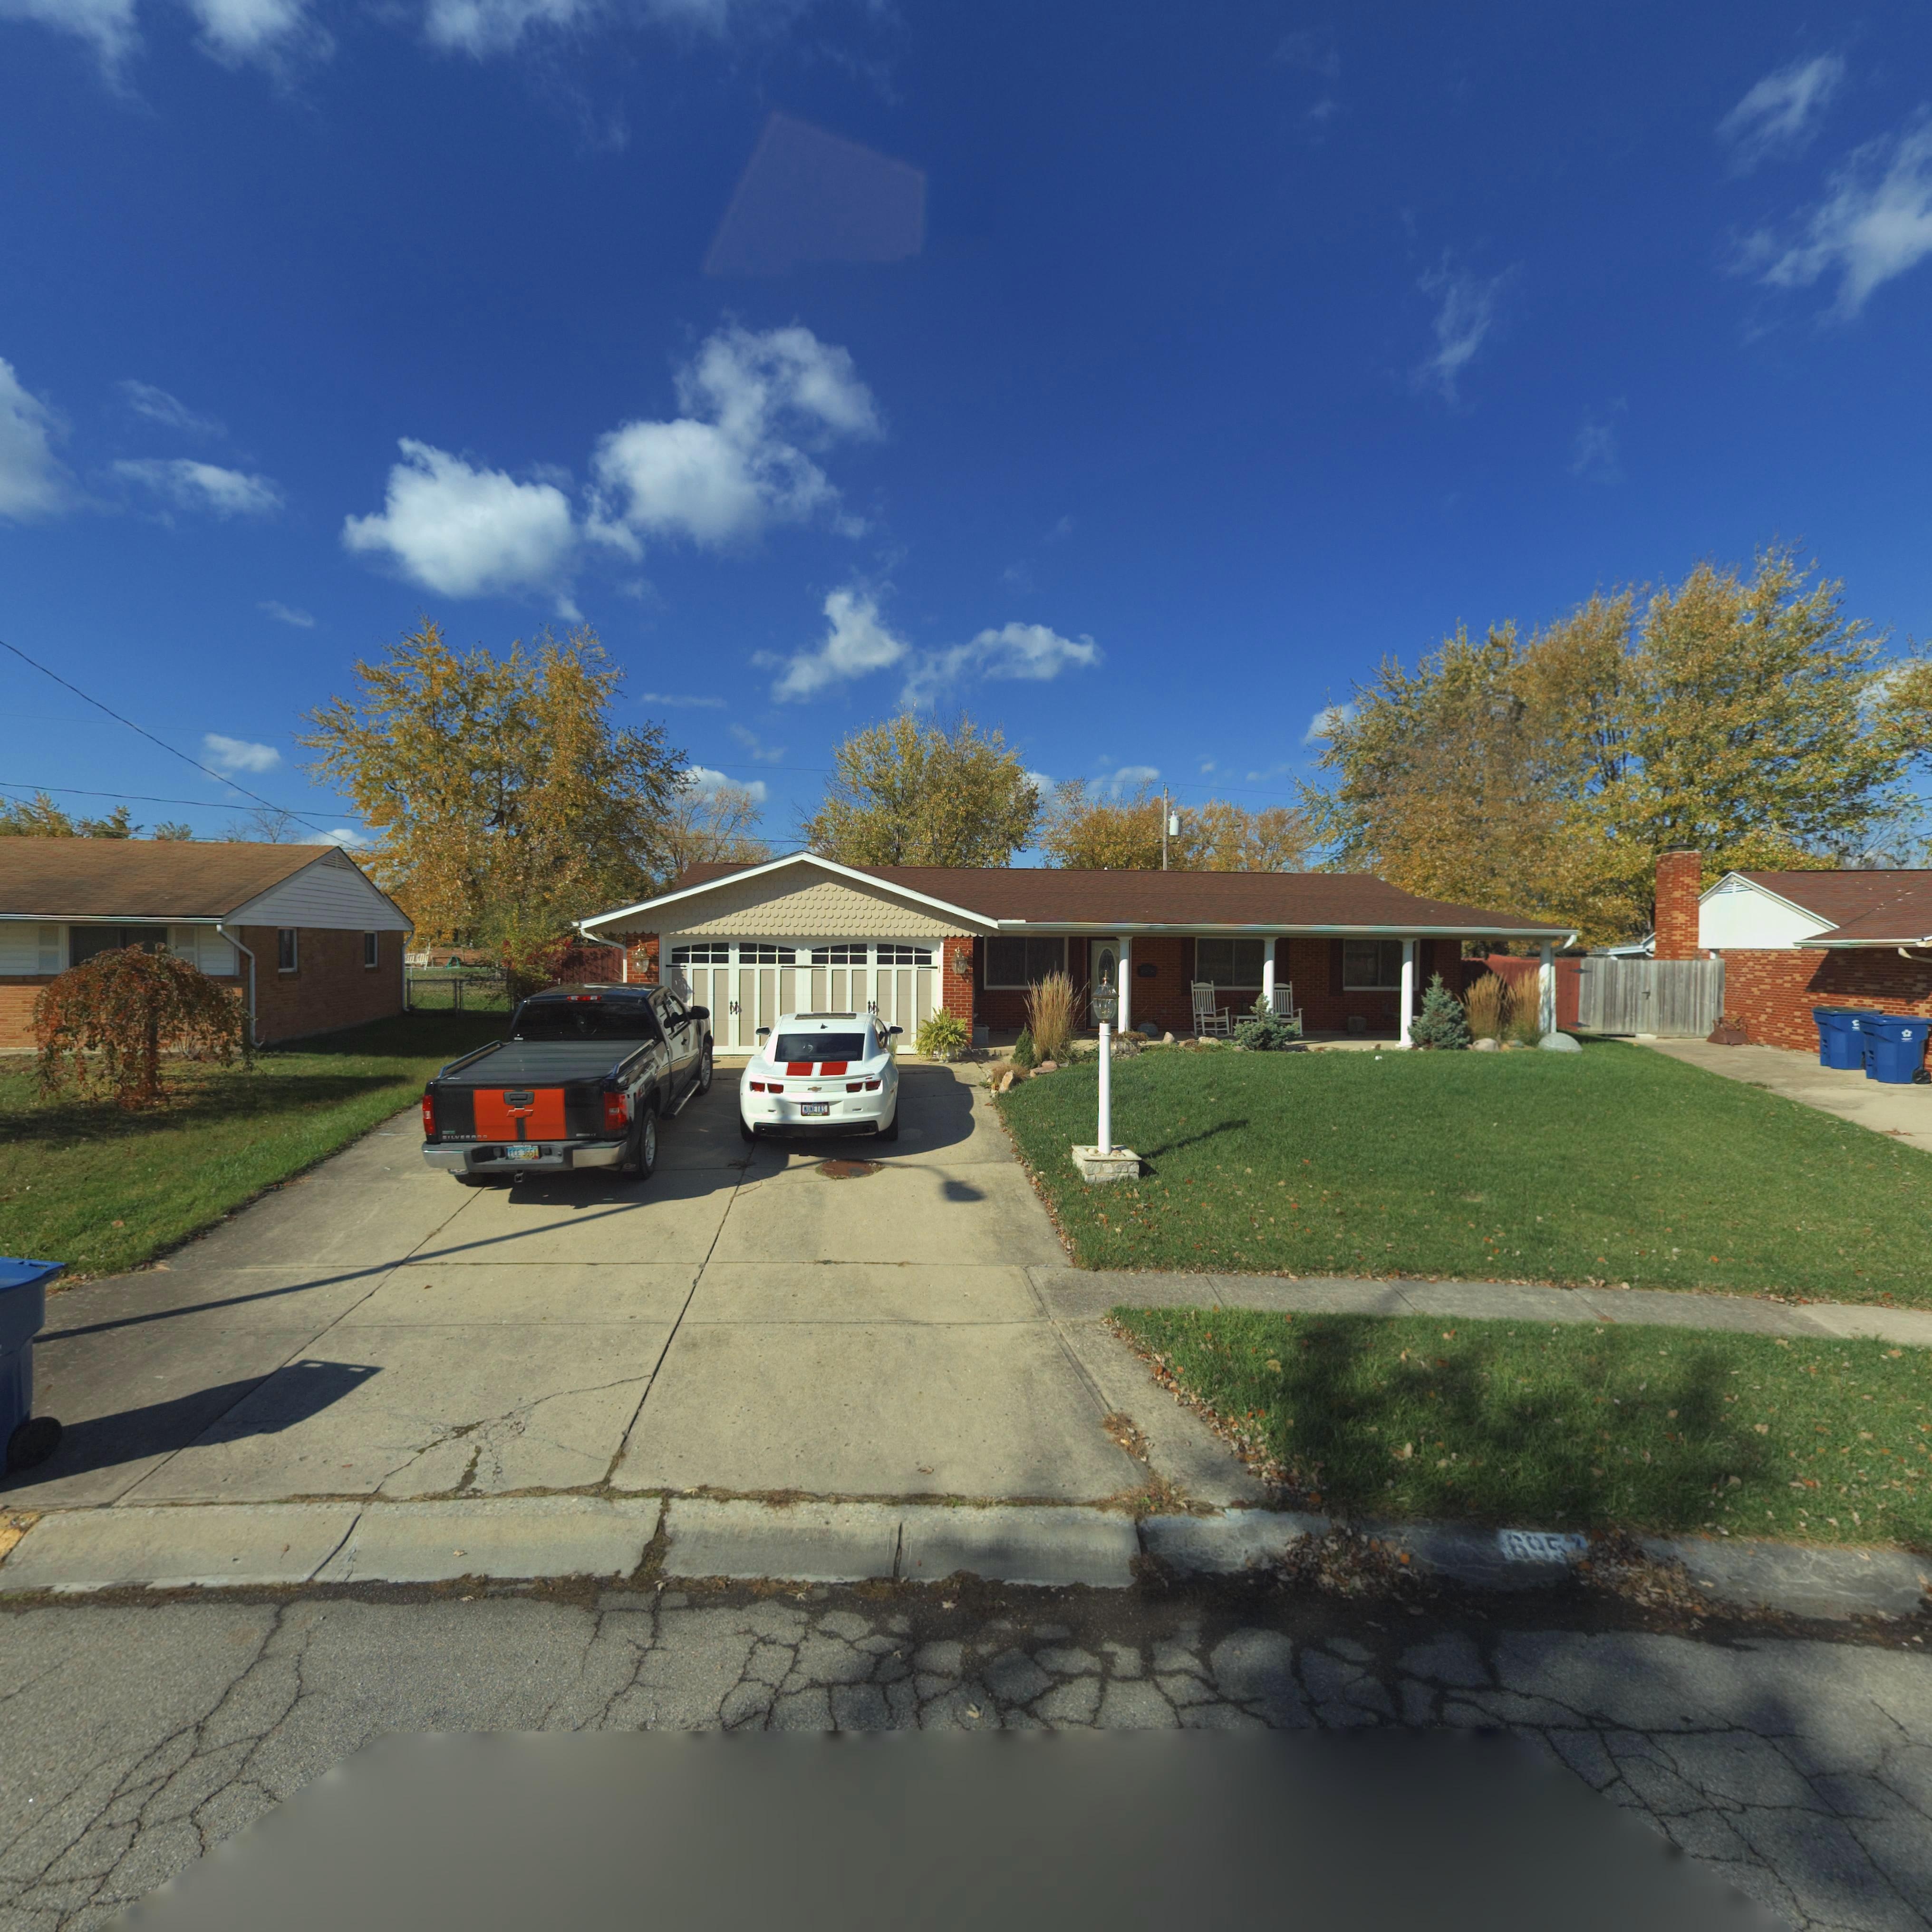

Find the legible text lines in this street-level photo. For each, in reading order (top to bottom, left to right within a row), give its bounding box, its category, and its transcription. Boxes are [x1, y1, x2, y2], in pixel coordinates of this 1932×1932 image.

[1504, 1532, 1571, 1564] StreetNumber: 69*